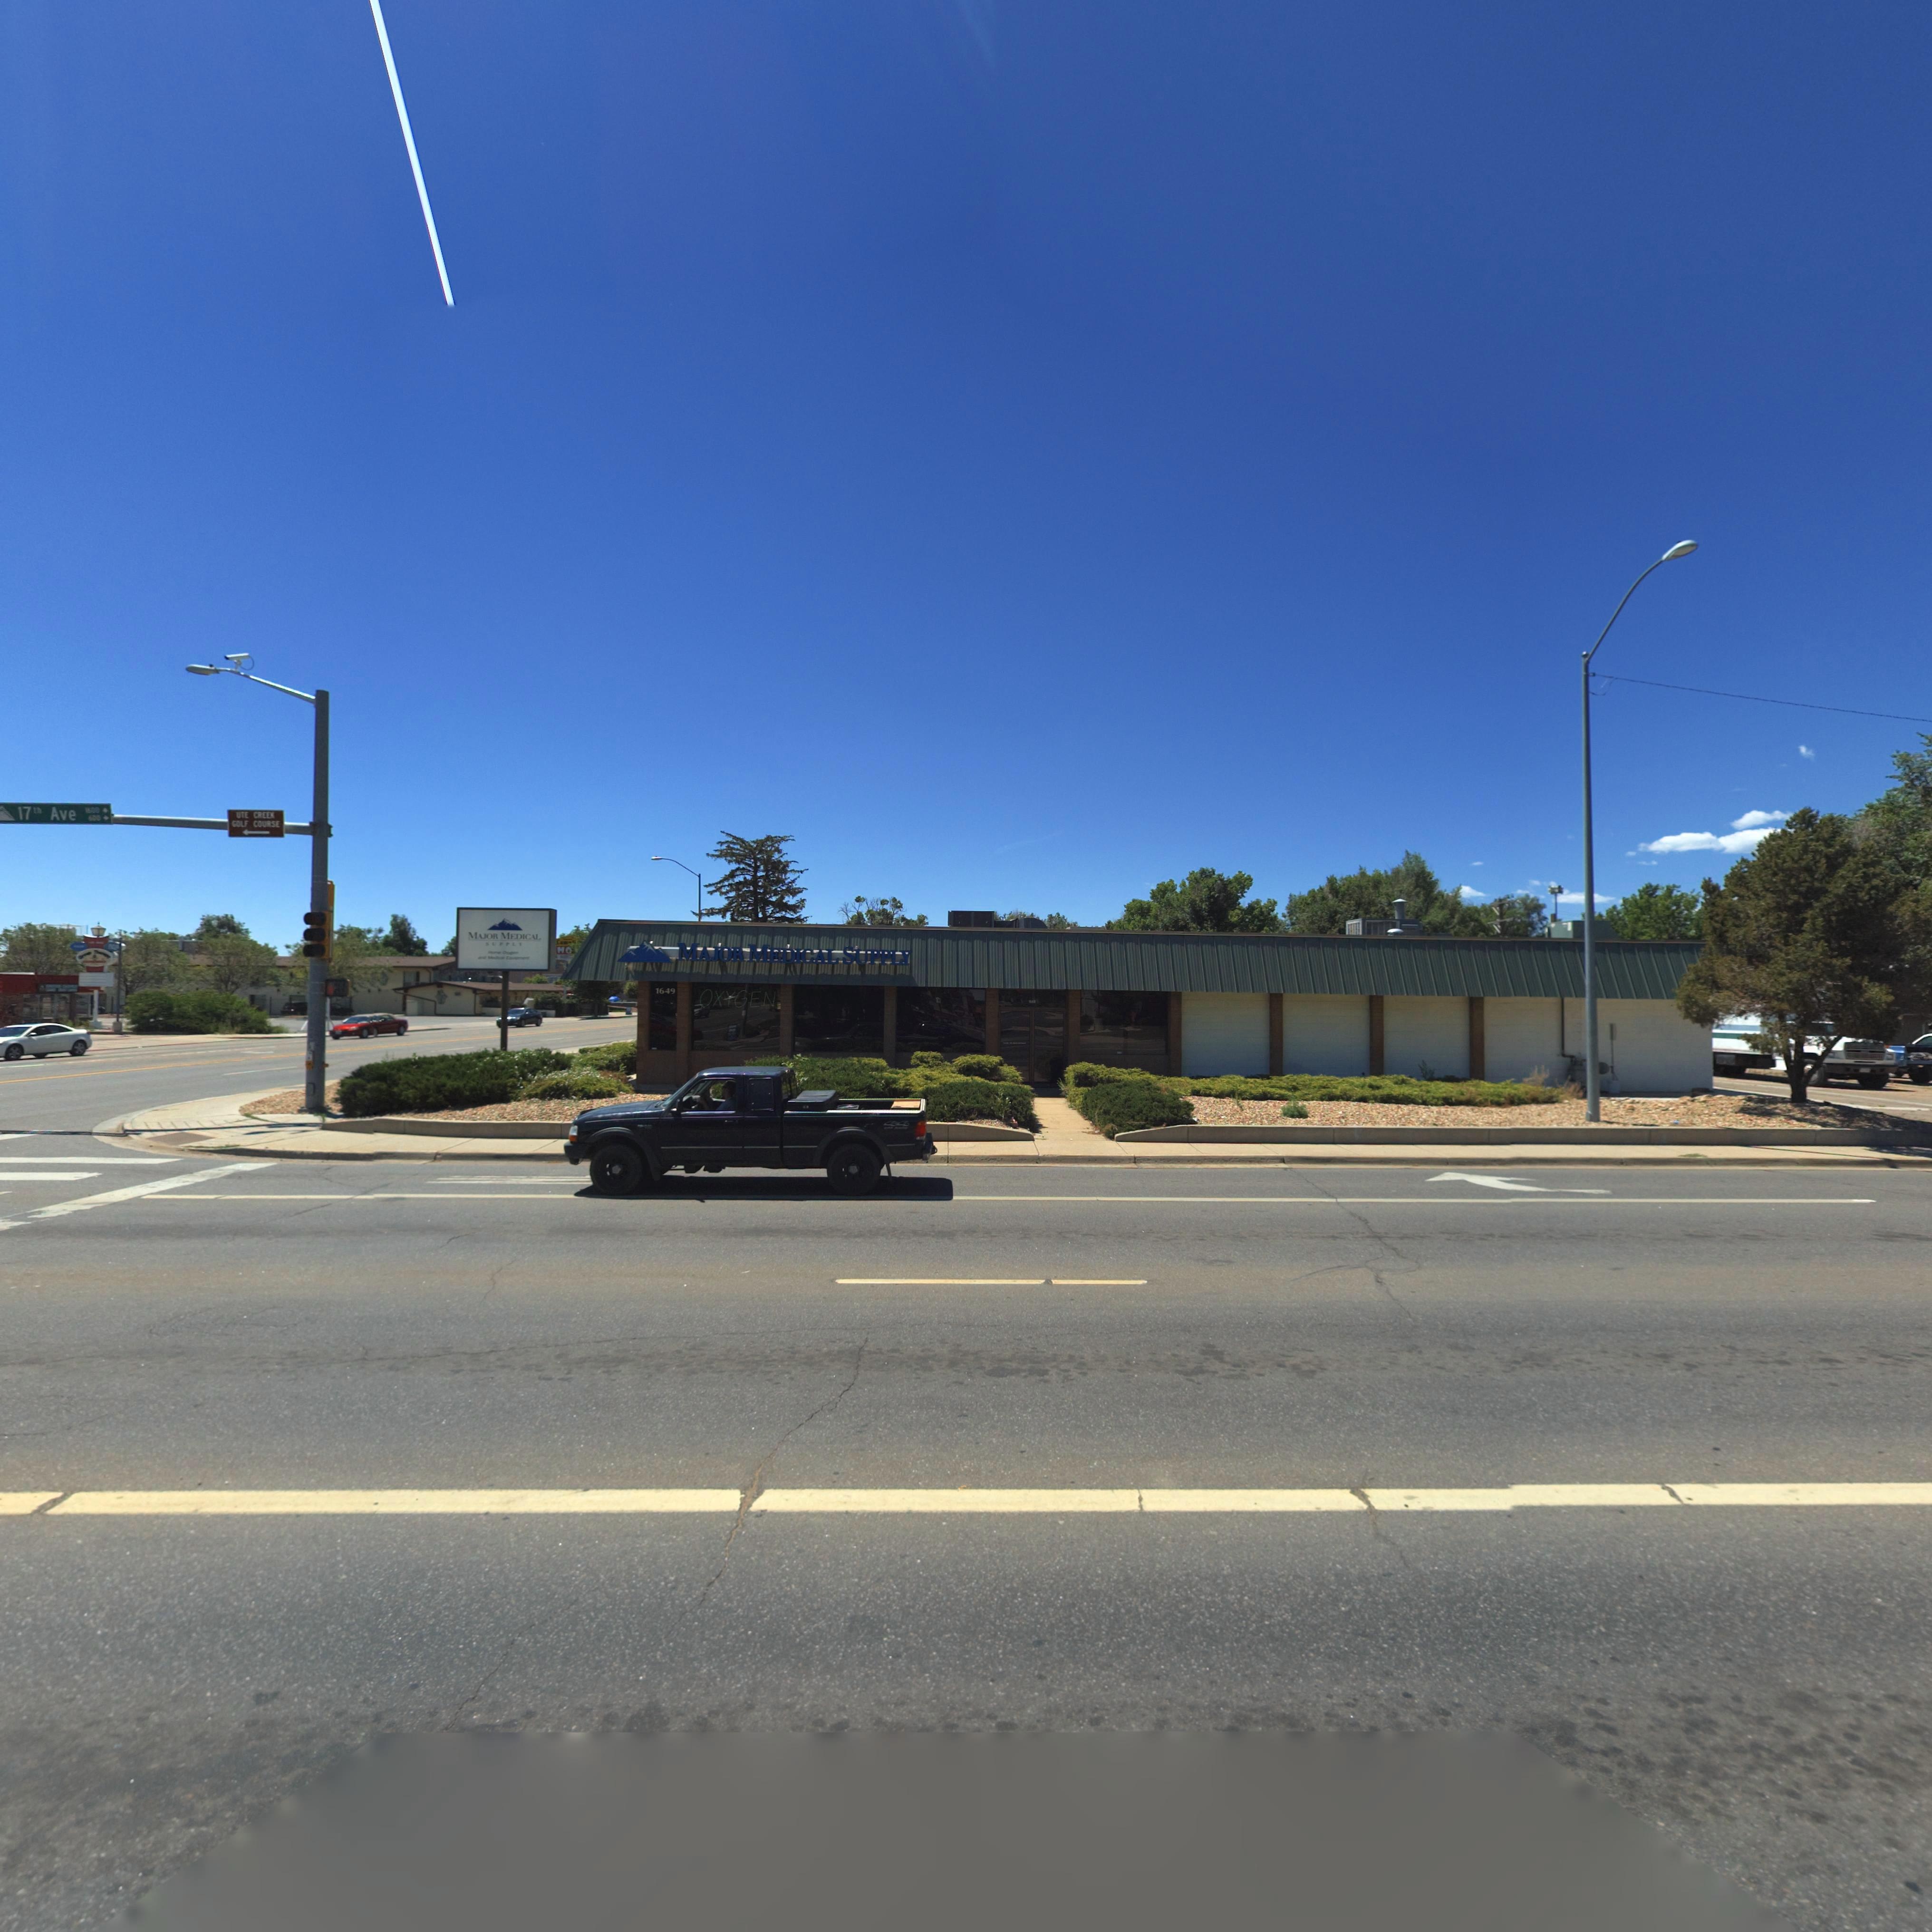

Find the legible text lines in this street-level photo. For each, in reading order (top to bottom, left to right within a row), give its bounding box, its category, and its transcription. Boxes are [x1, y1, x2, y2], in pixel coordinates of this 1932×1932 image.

[17, 805, 77, 821] StreetName: 17th Ave
[85, 806, 100, 813] StreetNumberRange: 1600
[87, 814, 110, 821] StreetNumberRange: 600->
[467, 931, 541, 940] BusinessName: MAJOR MEDICAL
[556, 939, 568, 945] BusinessName: Lam
[557, 946, 572, 954] BusinessName: MO
[674, 941, 915, 966] BusinessName: MAJOR MEDICAL SUPPLY
[655, 987, 676, 995] StreetNumber: 1649